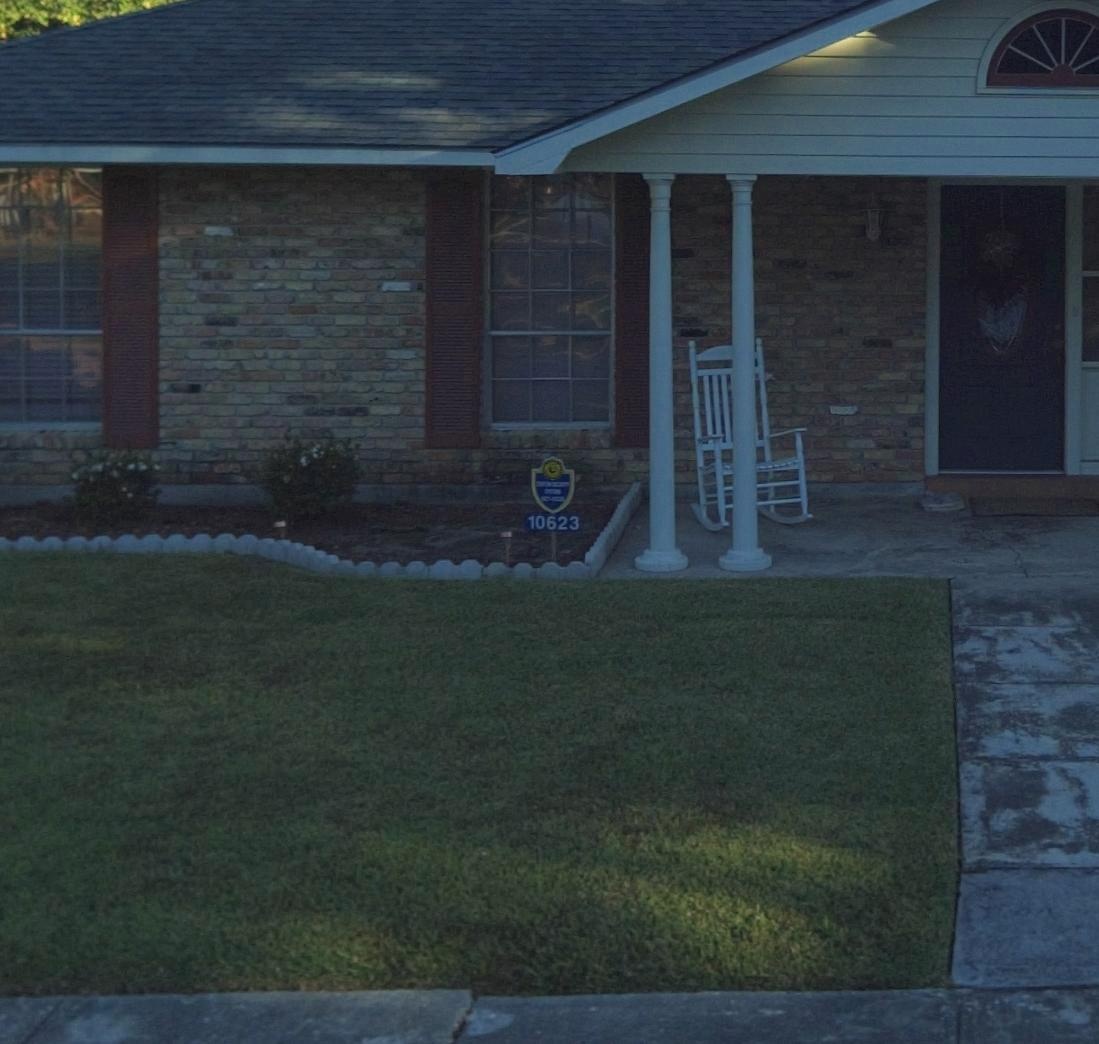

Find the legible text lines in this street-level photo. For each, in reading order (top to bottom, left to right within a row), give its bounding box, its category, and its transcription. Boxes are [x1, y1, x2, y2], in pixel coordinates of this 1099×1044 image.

[525, 513, 581, 532] StreetNumber: 10623